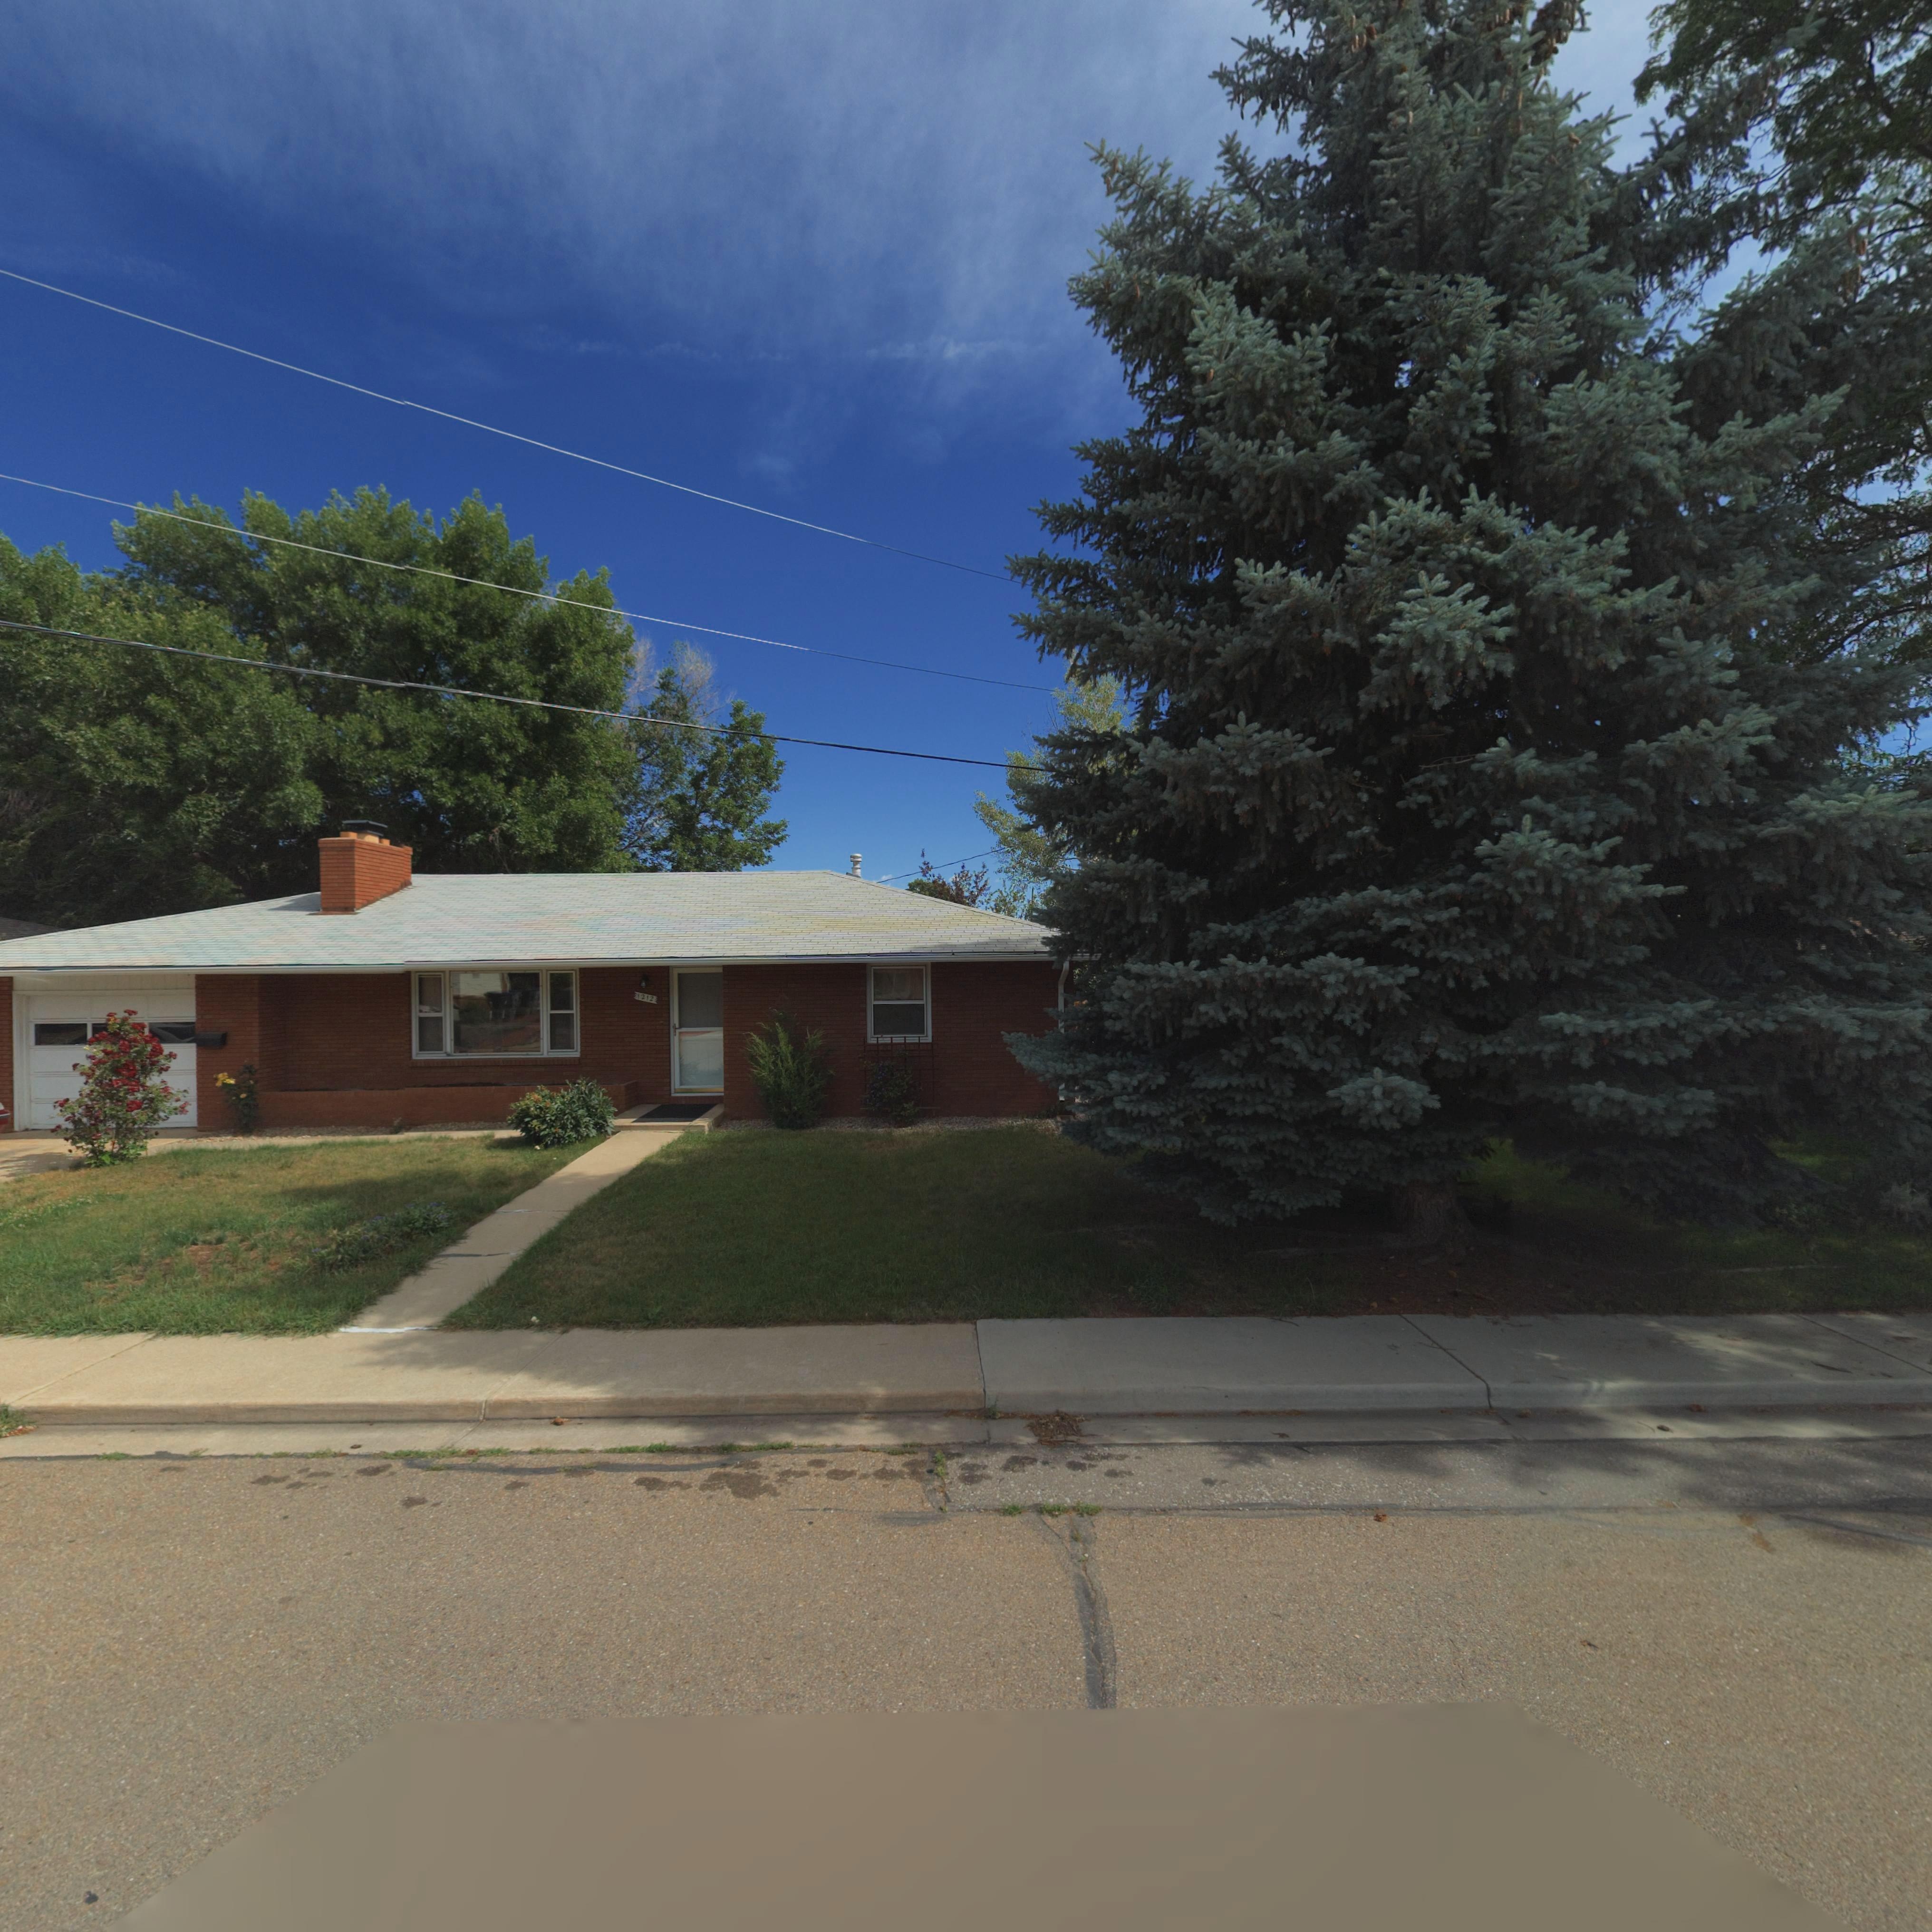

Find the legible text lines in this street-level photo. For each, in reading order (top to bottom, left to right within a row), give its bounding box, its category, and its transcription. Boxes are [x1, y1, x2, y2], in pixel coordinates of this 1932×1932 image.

[637, 993, 654, 1002] StreetNumber: 1212